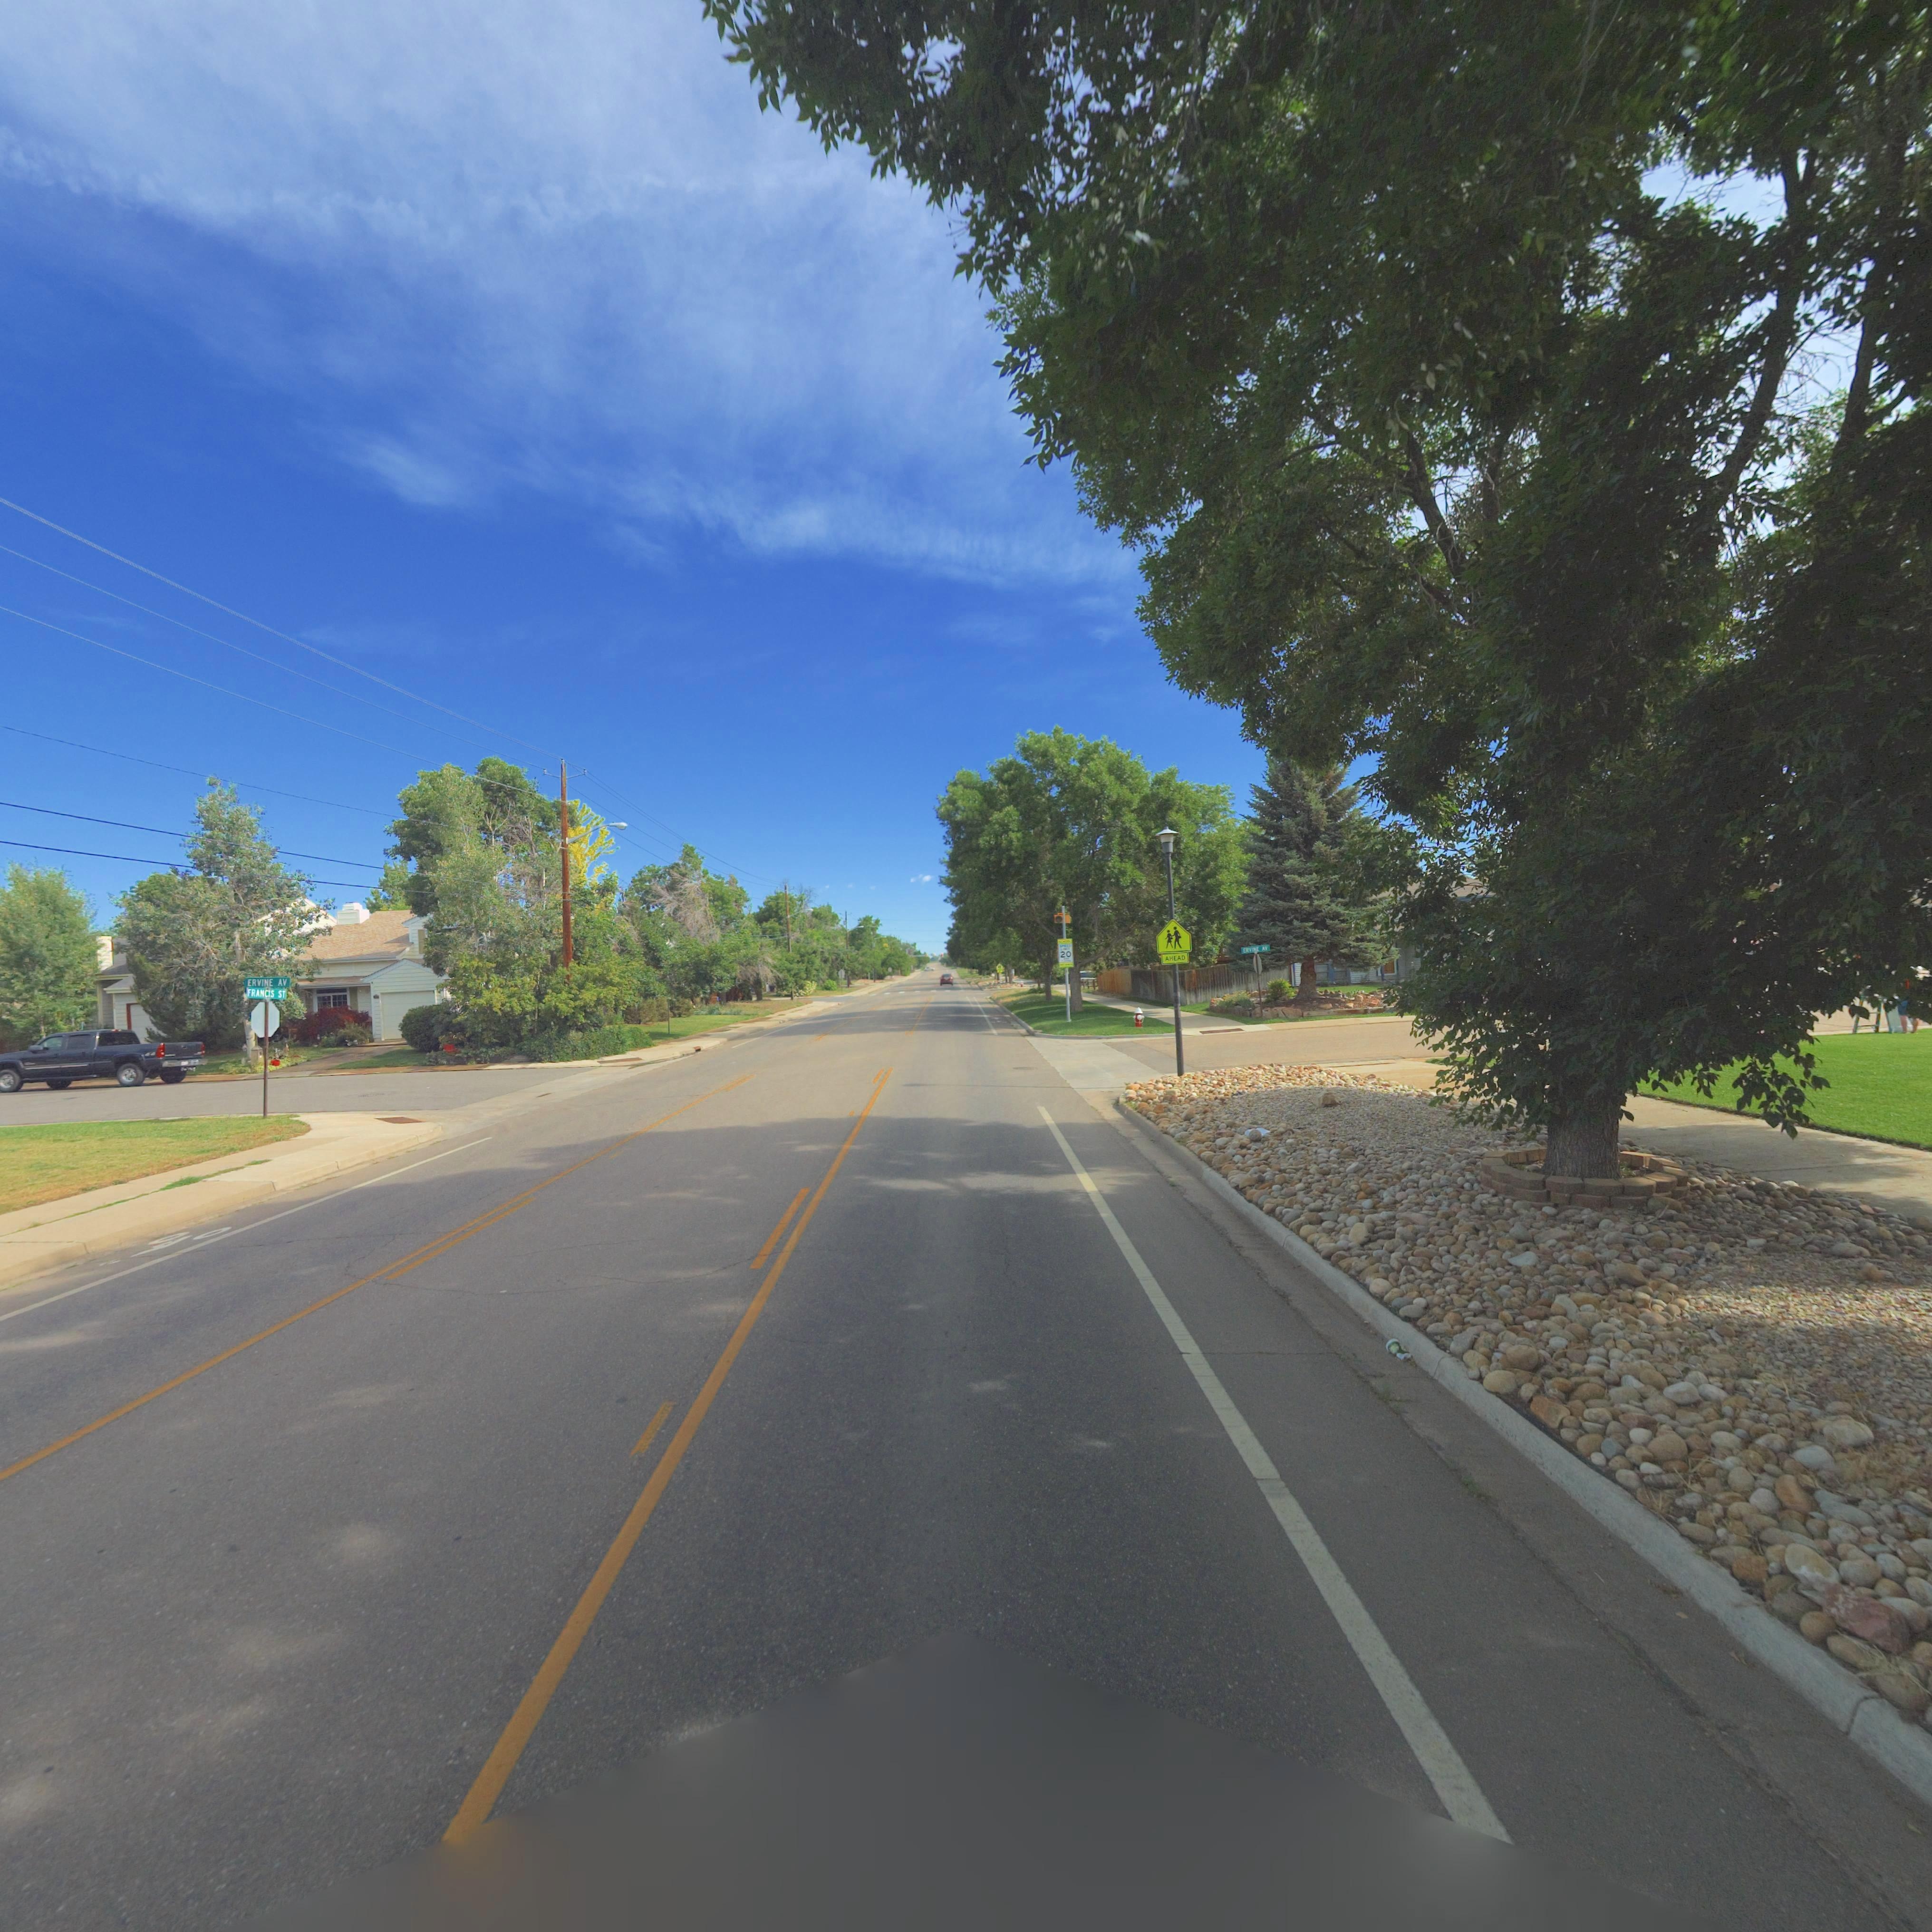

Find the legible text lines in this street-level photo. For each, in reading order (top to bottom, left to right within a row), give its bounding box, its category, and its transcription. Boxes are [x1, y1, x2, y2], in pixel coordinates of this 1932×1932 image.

[1242, 946, 1268, 953] StreetName: ERVINE AV
[247, 978, 288, 987] StreetName: ERVINE AV
[247, 988, 285, 998] StreetName: FRANCIS ST